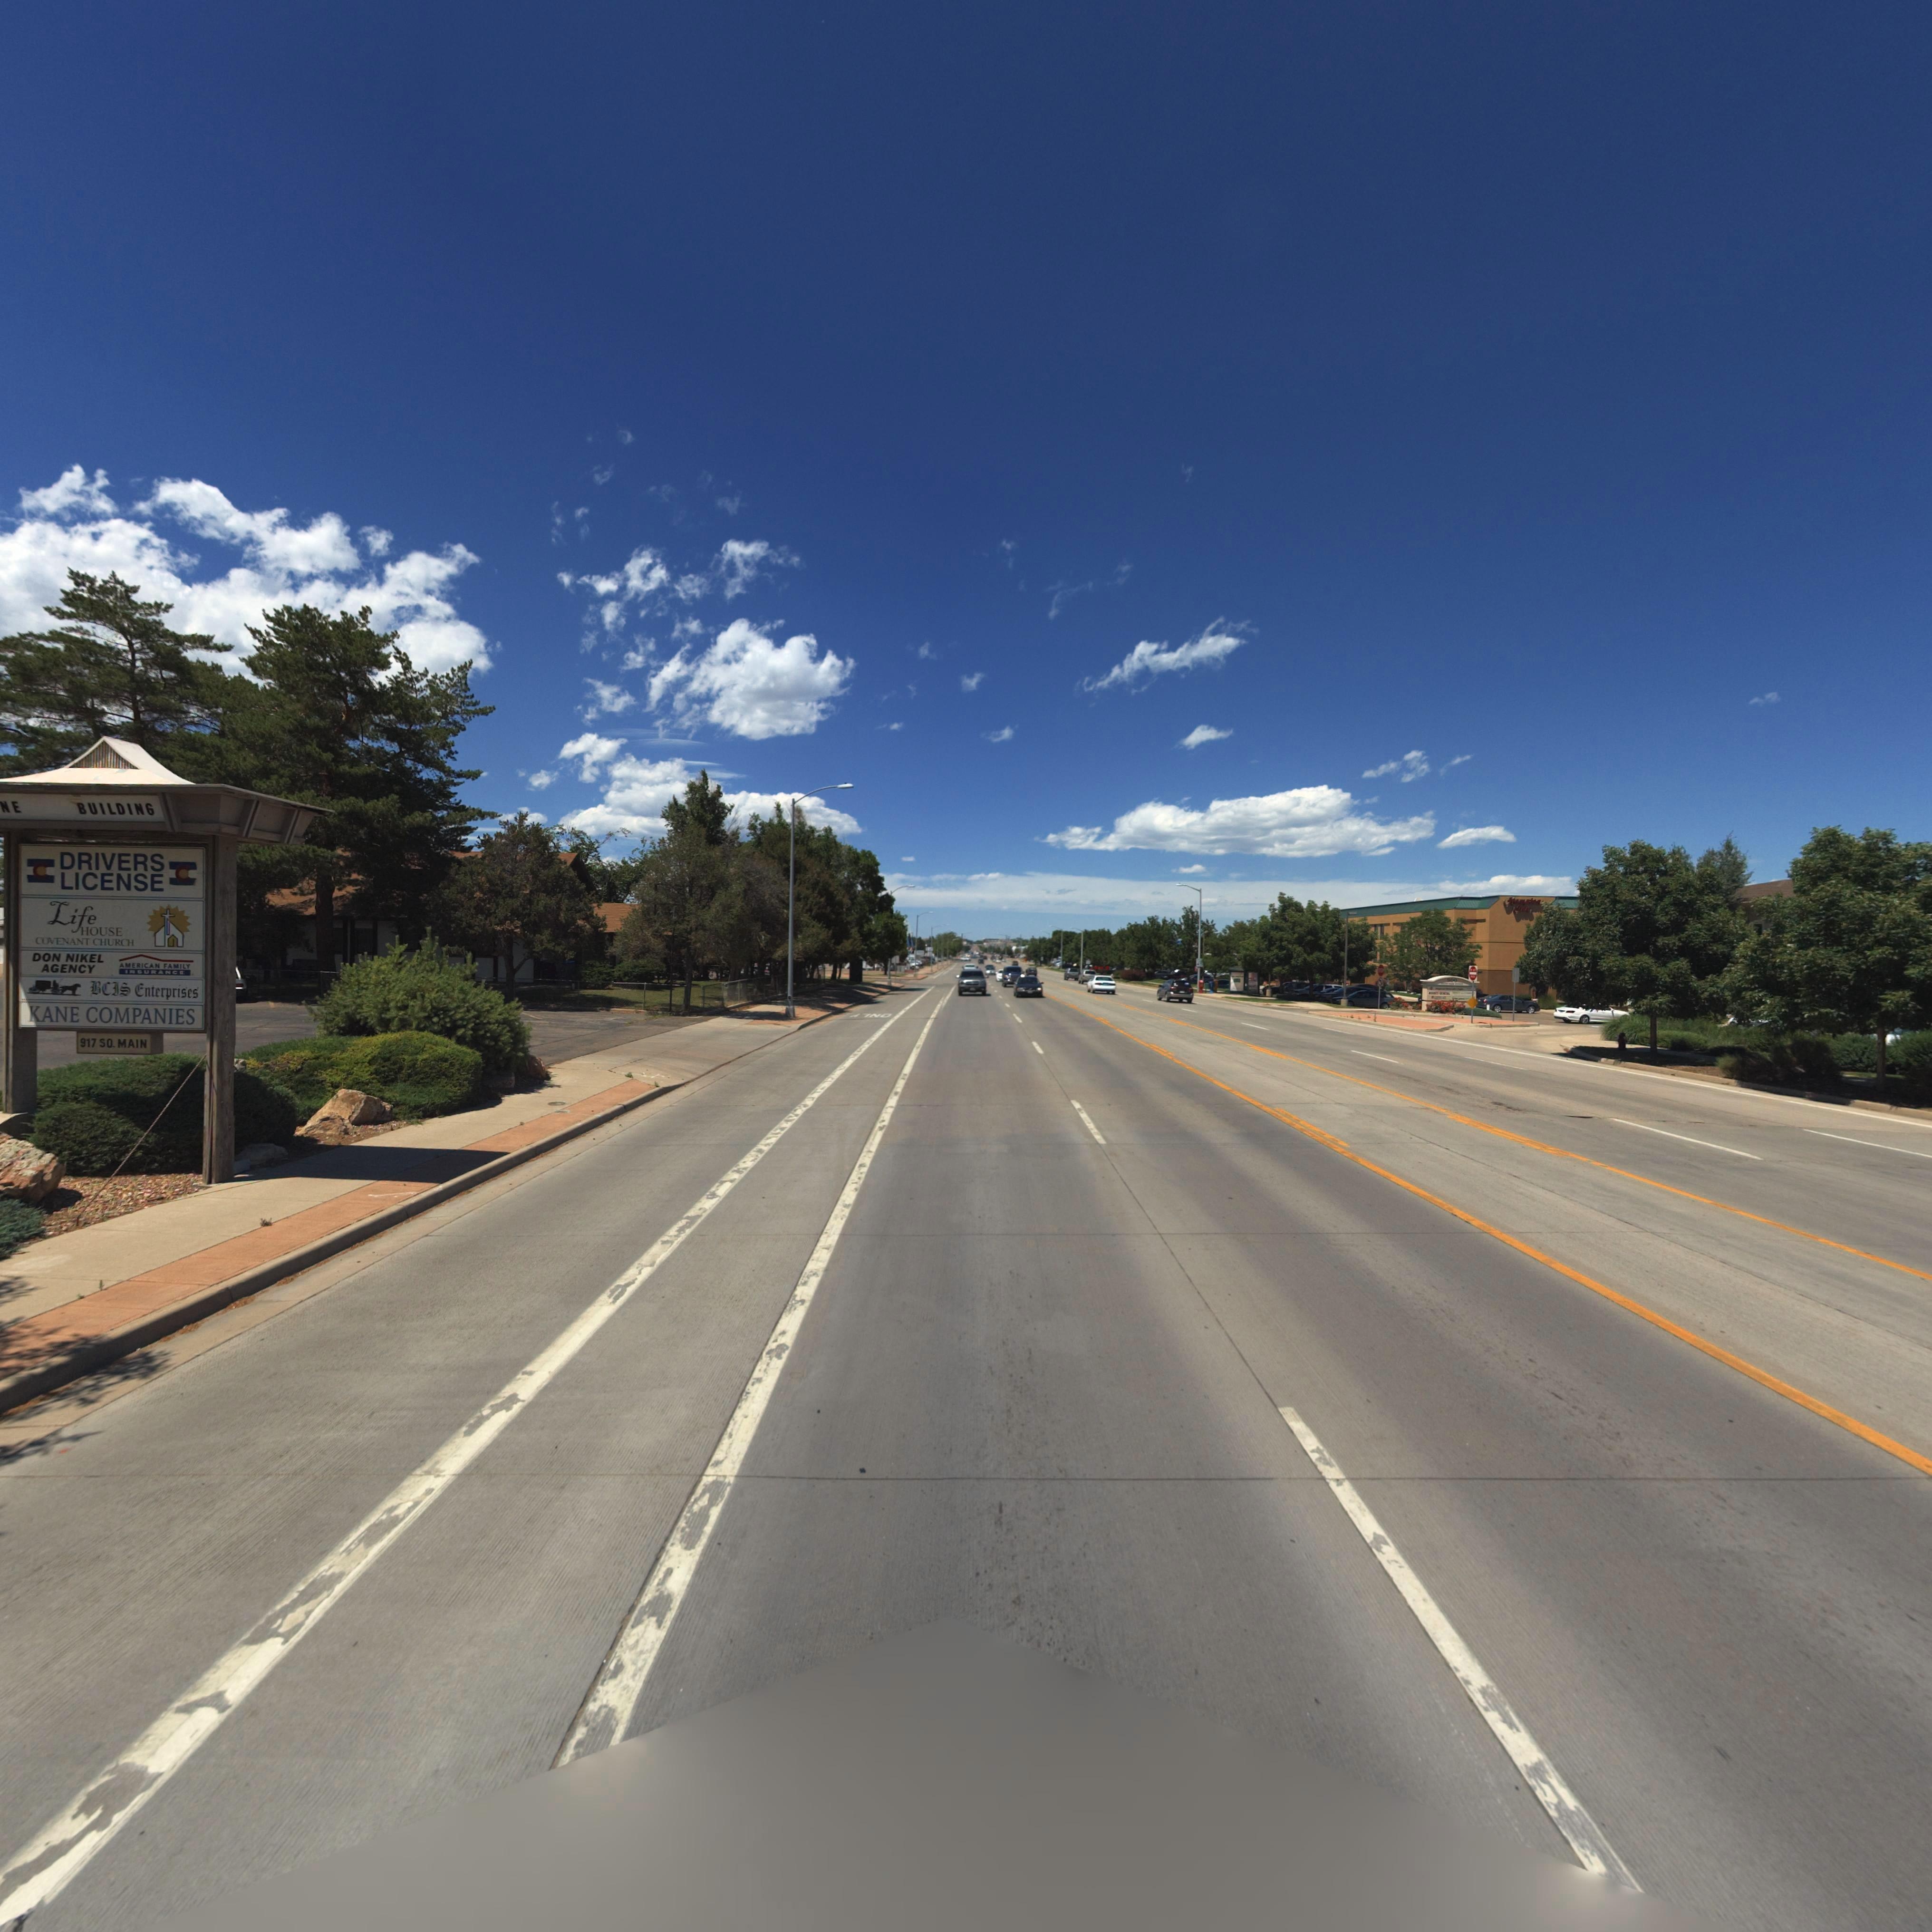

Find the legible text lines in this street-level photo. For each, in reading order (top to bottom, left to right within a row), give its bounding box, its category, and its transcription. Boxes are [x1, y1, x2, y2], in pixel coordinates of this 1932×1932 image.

[1502, 896, 1542, 907] BusinessName: Hampton
[1513, 904, 1533, 915] BusinessName: *nn
[46, 899, 97, 934] BusinessName: Life
[80, 926, 123, 937] BusinessName: HOUSE
[35, 936, 135, 947] BusinessName: COVENANT CHURCH
[118, 962, 191, 969] BusinessName: AMERICAN FAMILY
[125, 969, 184, 975] BusinessName: INSURANCE
[1446, 978, 1457, 982] StreetNumber: 900
[90, 980, 199, 1001] BusinessName: BCIS Enterprises
[1428, 991, 1450, 995] BusinessName: E*T*** DEN**L
[27, 1005, 195, 1025] BusinessName: KANE COMPANIES
[80, 1037, 97, 1048] StreetNumber: 917
[99, 1038, 147, 1048] StreetName: SO. MAIN